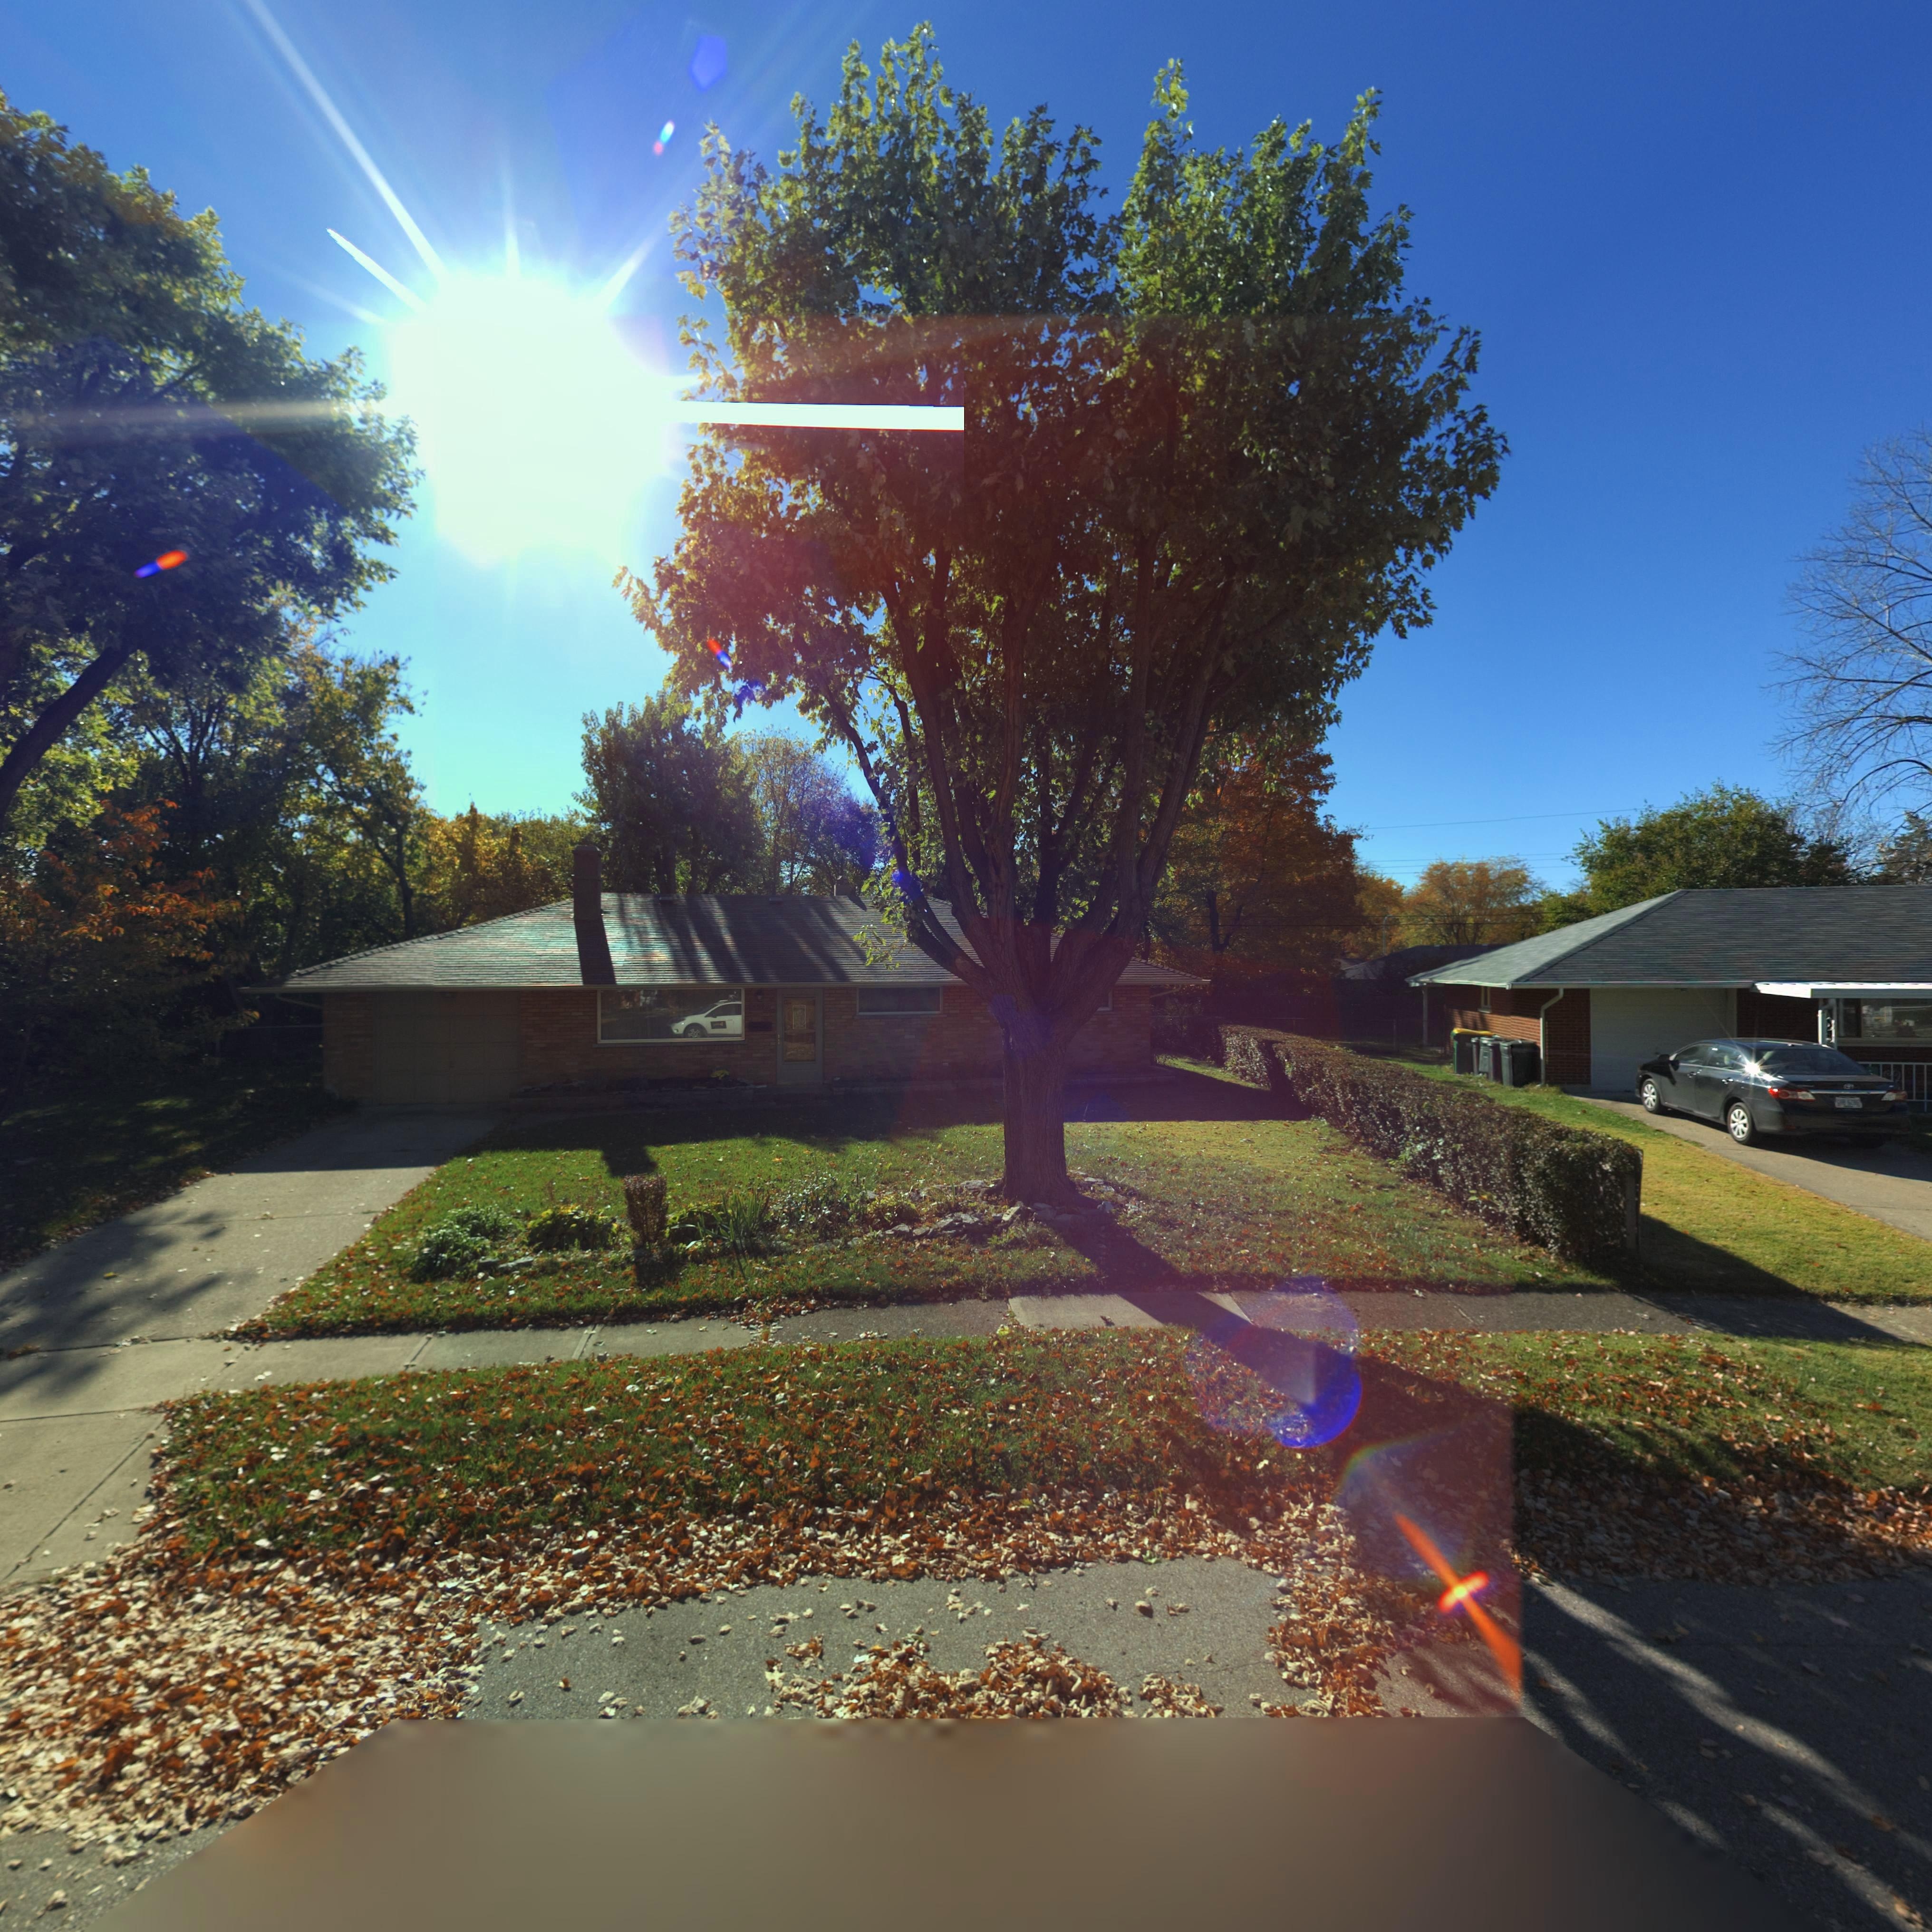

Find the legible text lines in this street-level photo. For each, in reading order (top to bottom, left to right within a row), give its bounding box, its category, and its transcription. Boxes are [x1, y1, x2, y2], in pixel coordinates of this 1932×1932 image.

[752, 1004, 770, 1010] StreetNumber: **90